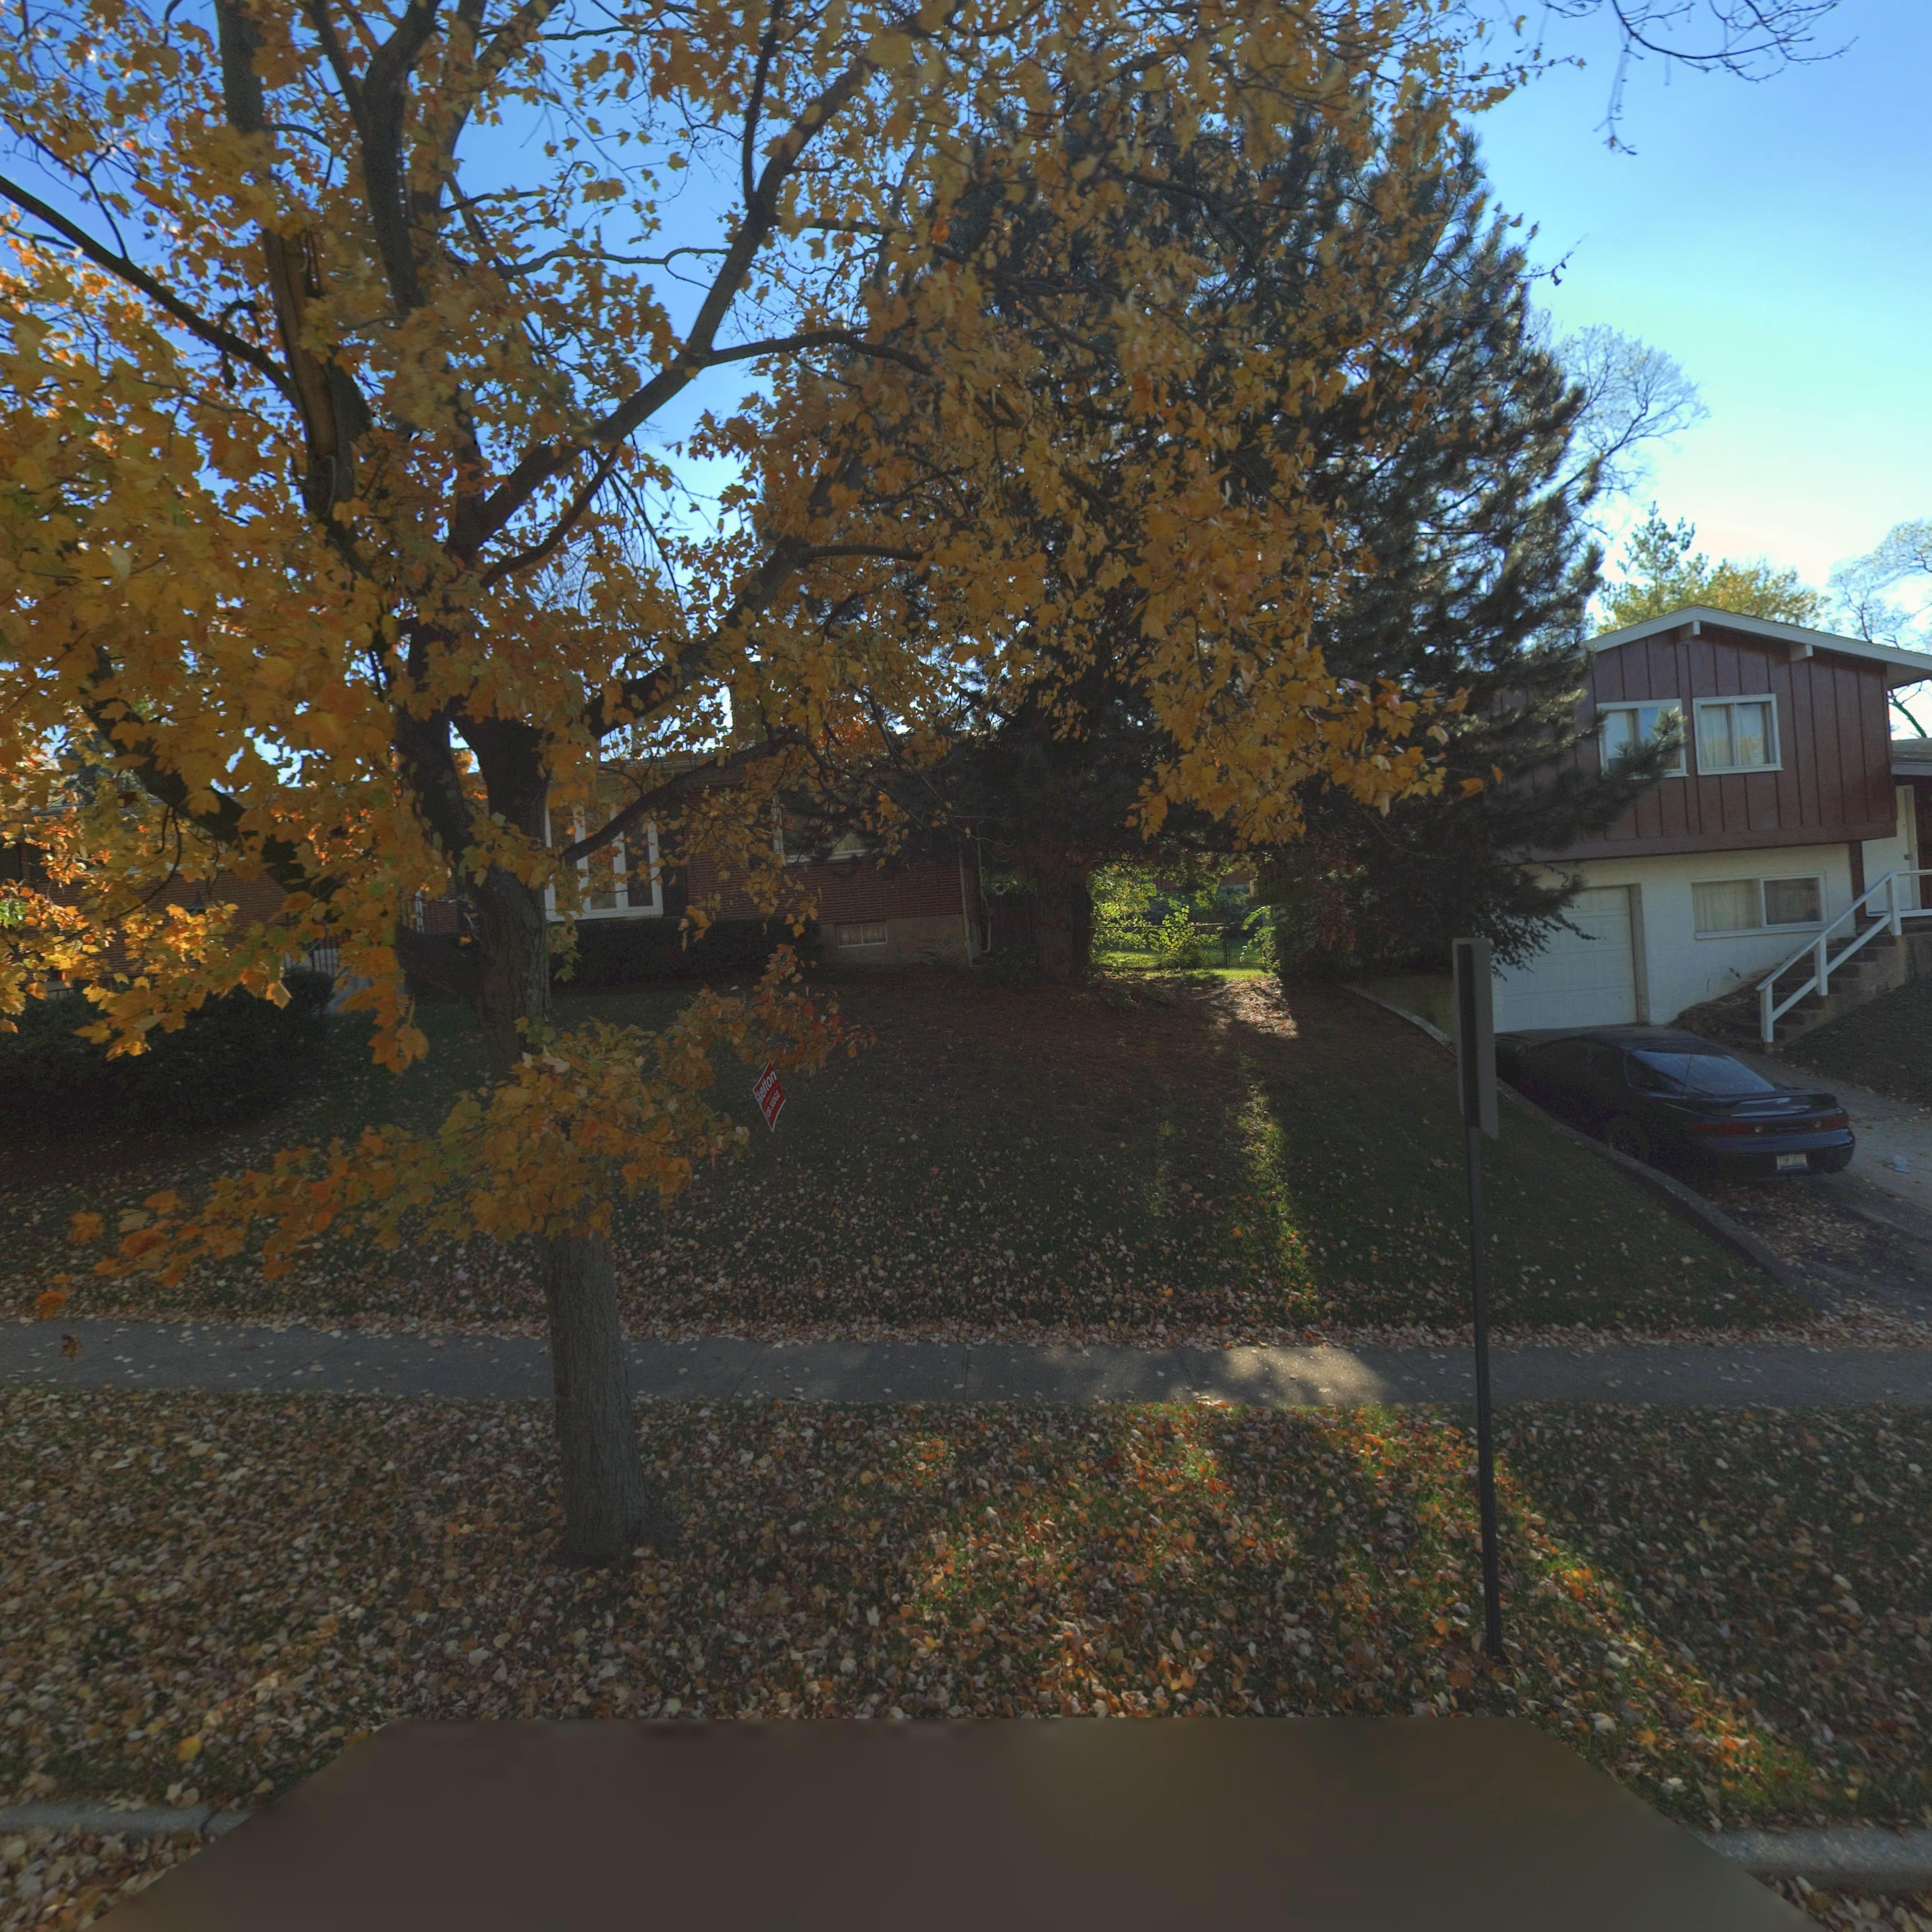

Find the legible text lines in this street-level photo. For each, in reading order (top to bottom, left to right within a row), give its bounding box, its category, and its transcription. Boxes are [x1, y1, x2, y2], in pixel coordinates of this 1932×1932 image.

[1560, 875, 1570, 888] StreetNumber: 2